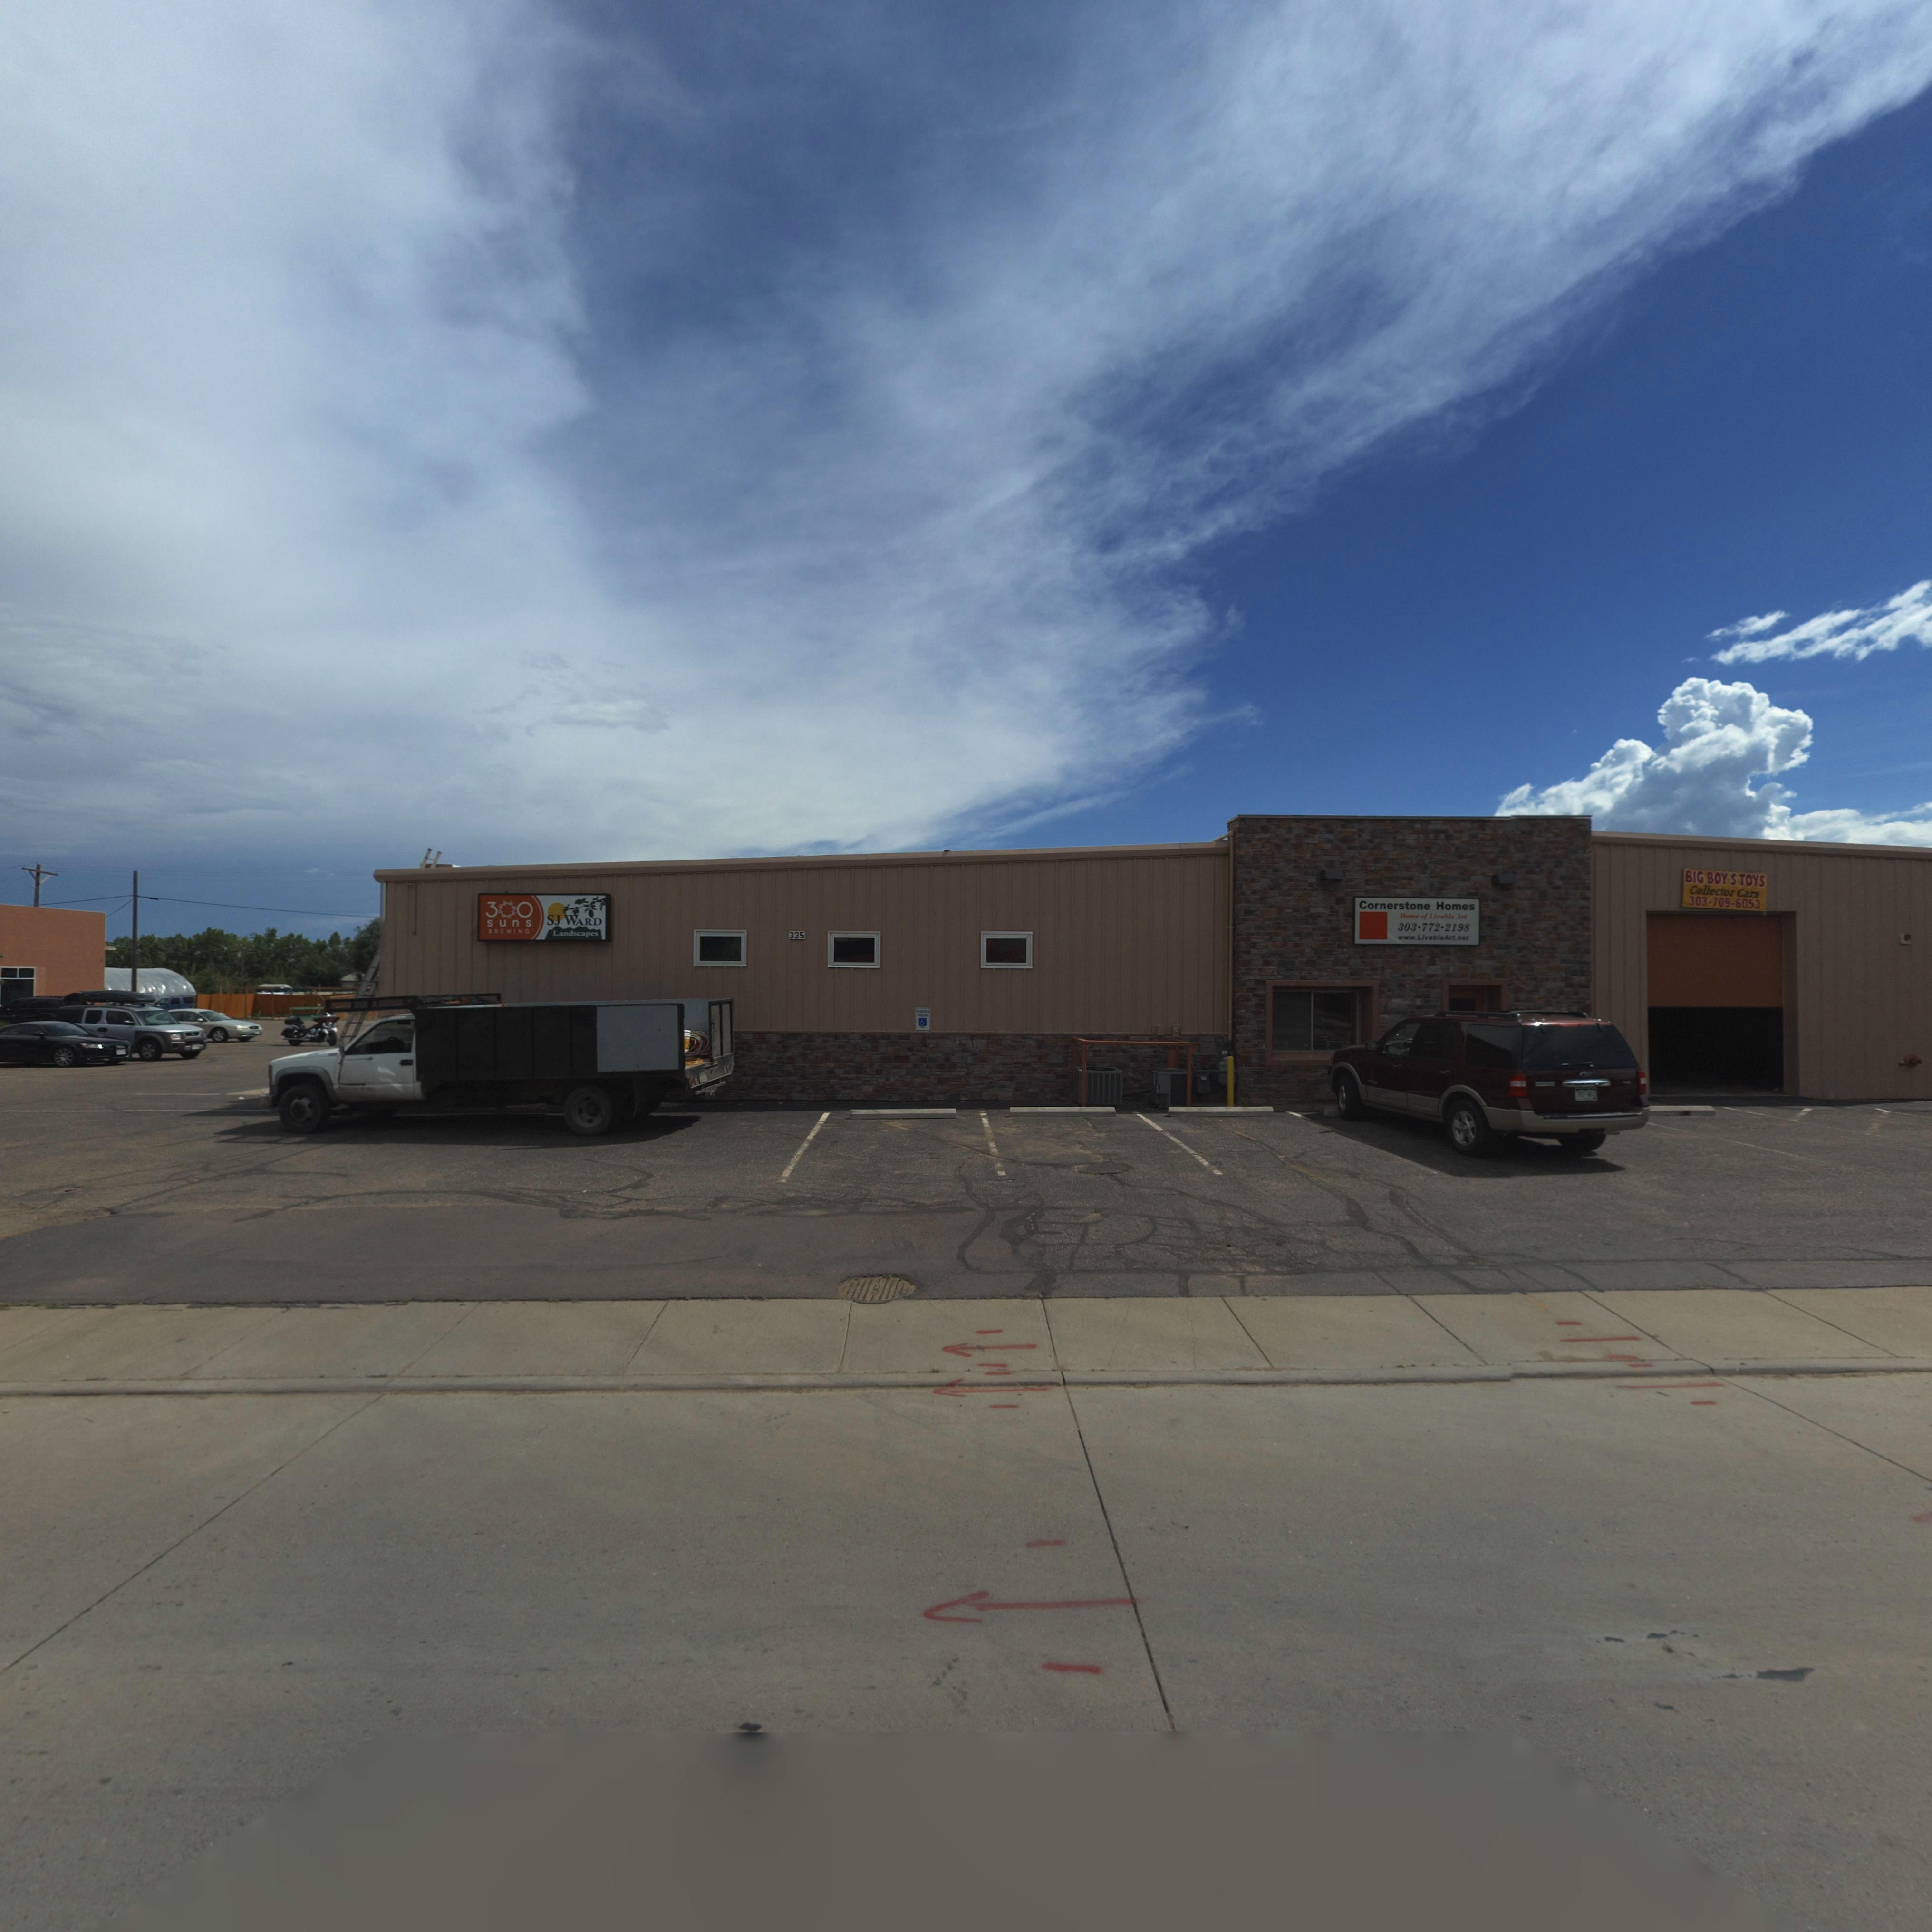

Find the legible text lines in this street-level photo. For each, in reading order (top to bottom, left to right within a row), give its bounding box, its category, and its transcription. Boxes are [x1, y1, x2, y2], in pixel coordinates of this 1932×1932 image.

[1685, 869, 1765, 887] BusinessName: BIG BOY'S TOYS
[485, 899, 534, 919] BusinessName: 3*0
[1359, 900, 1475, 911] BusinessName: Conerstone Homes
[486, 919, 532, 927] BusinessName: suns
[546, 913, 602, 926] BusinessName: SJ WARD
[488, 928, 530, 934] BusinessName: BREWING
[789, 931, 804, 939] StreetNumber: 335